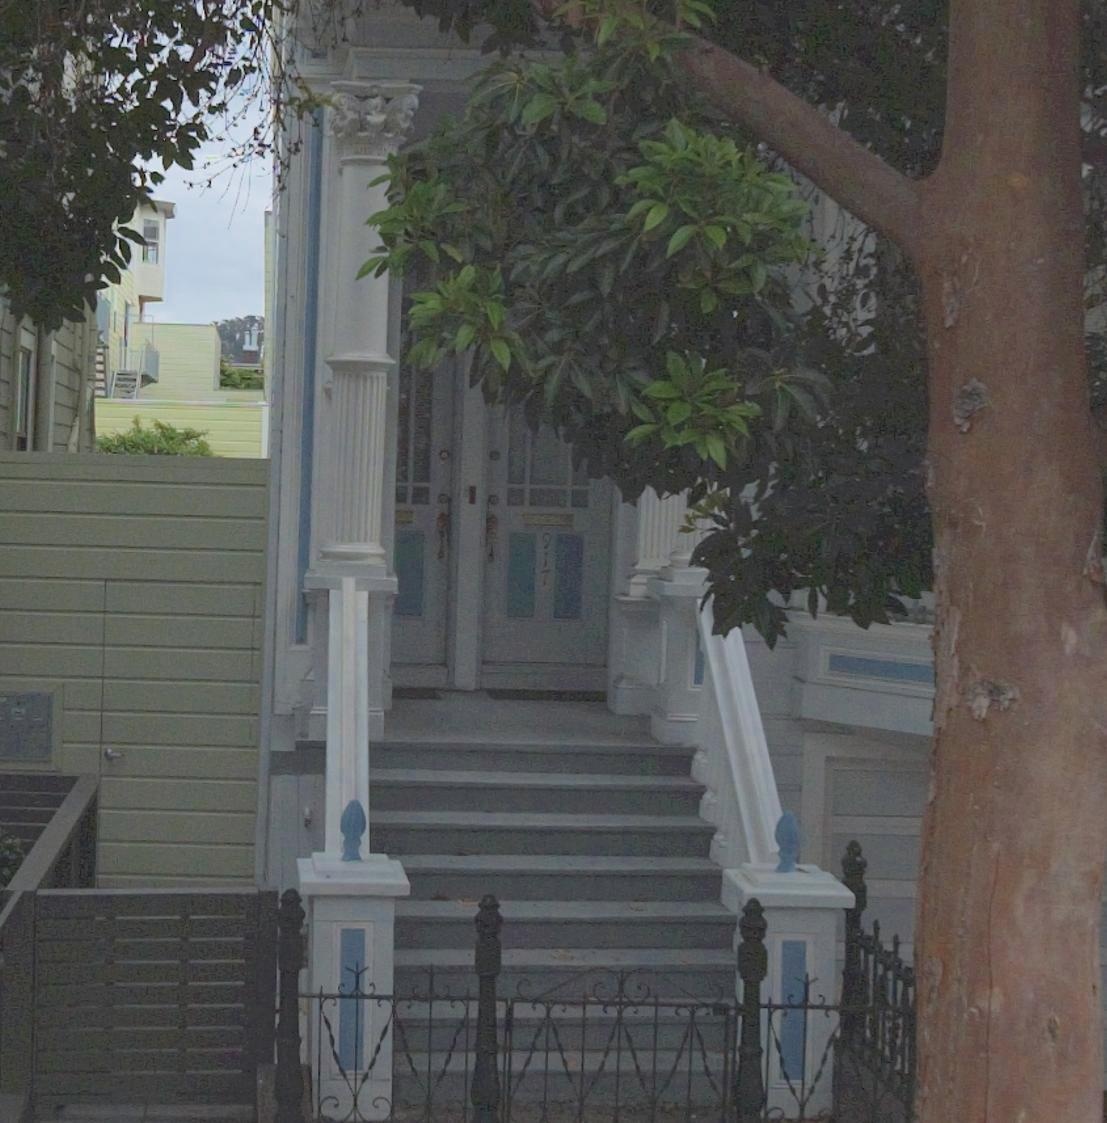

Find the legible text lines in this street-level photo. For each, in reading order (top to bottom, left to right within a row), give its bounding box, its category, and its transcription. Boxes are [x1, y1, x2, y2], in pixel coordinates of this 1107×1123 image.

[539, 531, 553, 588] StreetNumber: 917